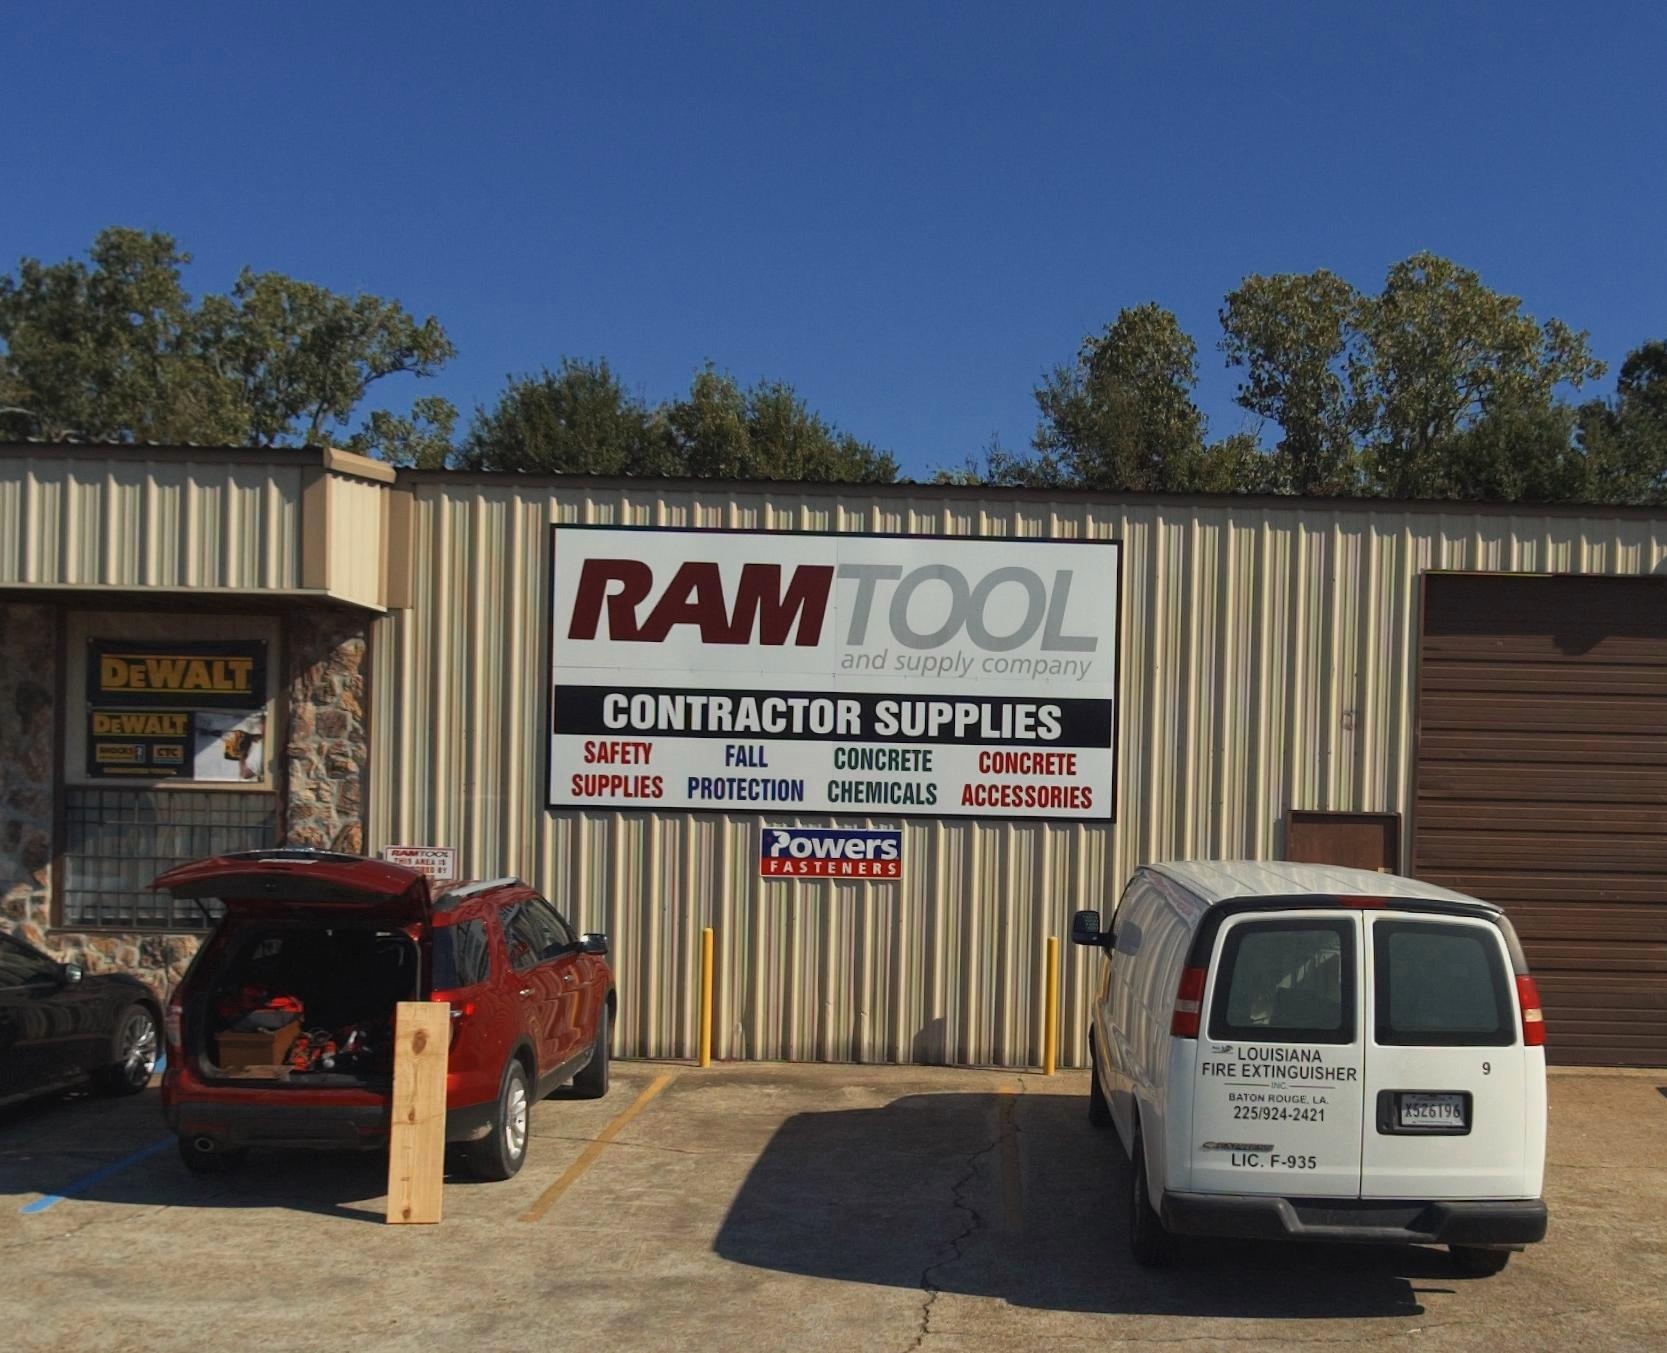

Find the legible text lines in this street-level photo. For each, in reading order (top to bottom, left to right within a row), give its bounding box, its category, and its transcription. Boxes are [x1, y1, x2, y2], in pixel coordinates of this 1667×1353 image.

[564, 554, 1102, 657] BusinessName: RAMTOOL
[99, 656, 256, 691] None: DEWALT
[837, 645, 1098, 684] BusinessName: and supply company
[91, 713, 191, 736] None: DEWALT
[600, 690, 1063, 742] None: CONTRACTOR SUPPLIES
[154, 744, 181, 759] None: CTC
[581, 738, 655, 767] None: SAFETY
[723, 742, 771, 770] None: FALL
[831, 744, 935, 775] None: CONCRETE
[976, 748, 1080, 778] None: CONCRETE
[568, 771, 666, 802] None: SUPPLIES
[685, 774, 806, 804] None: PROTECTION
[825, 777, 940, 808] None: CHEMICALS
[958, 781, 1095, 811] None: ACCESSORIES
[388, 847, 451, 860] None: RAMTOO*
[768, 858, 900, 877] None: FASTENERS
[769, 830, 900, 862] None: Powers
[1225, 1090, 1332, 1108] None: BATON ROUGE. LA.
[1231, 1103, 1326, 1124] None: 225/924-2421
[1200, 1060, 1359, 1083] None: FIRE EXTINGUISHER
[1268, 1079, 1291, 1092] None: INC.
[1236, 1045, 1325, 1065] None: LOUISIANA
[1403, 1100, 1462, 1120] None: X526196
[1480, 1058, 1493, 1078] None: 9
[1229, 1150, 1318, 1172] None: LIC. F-935